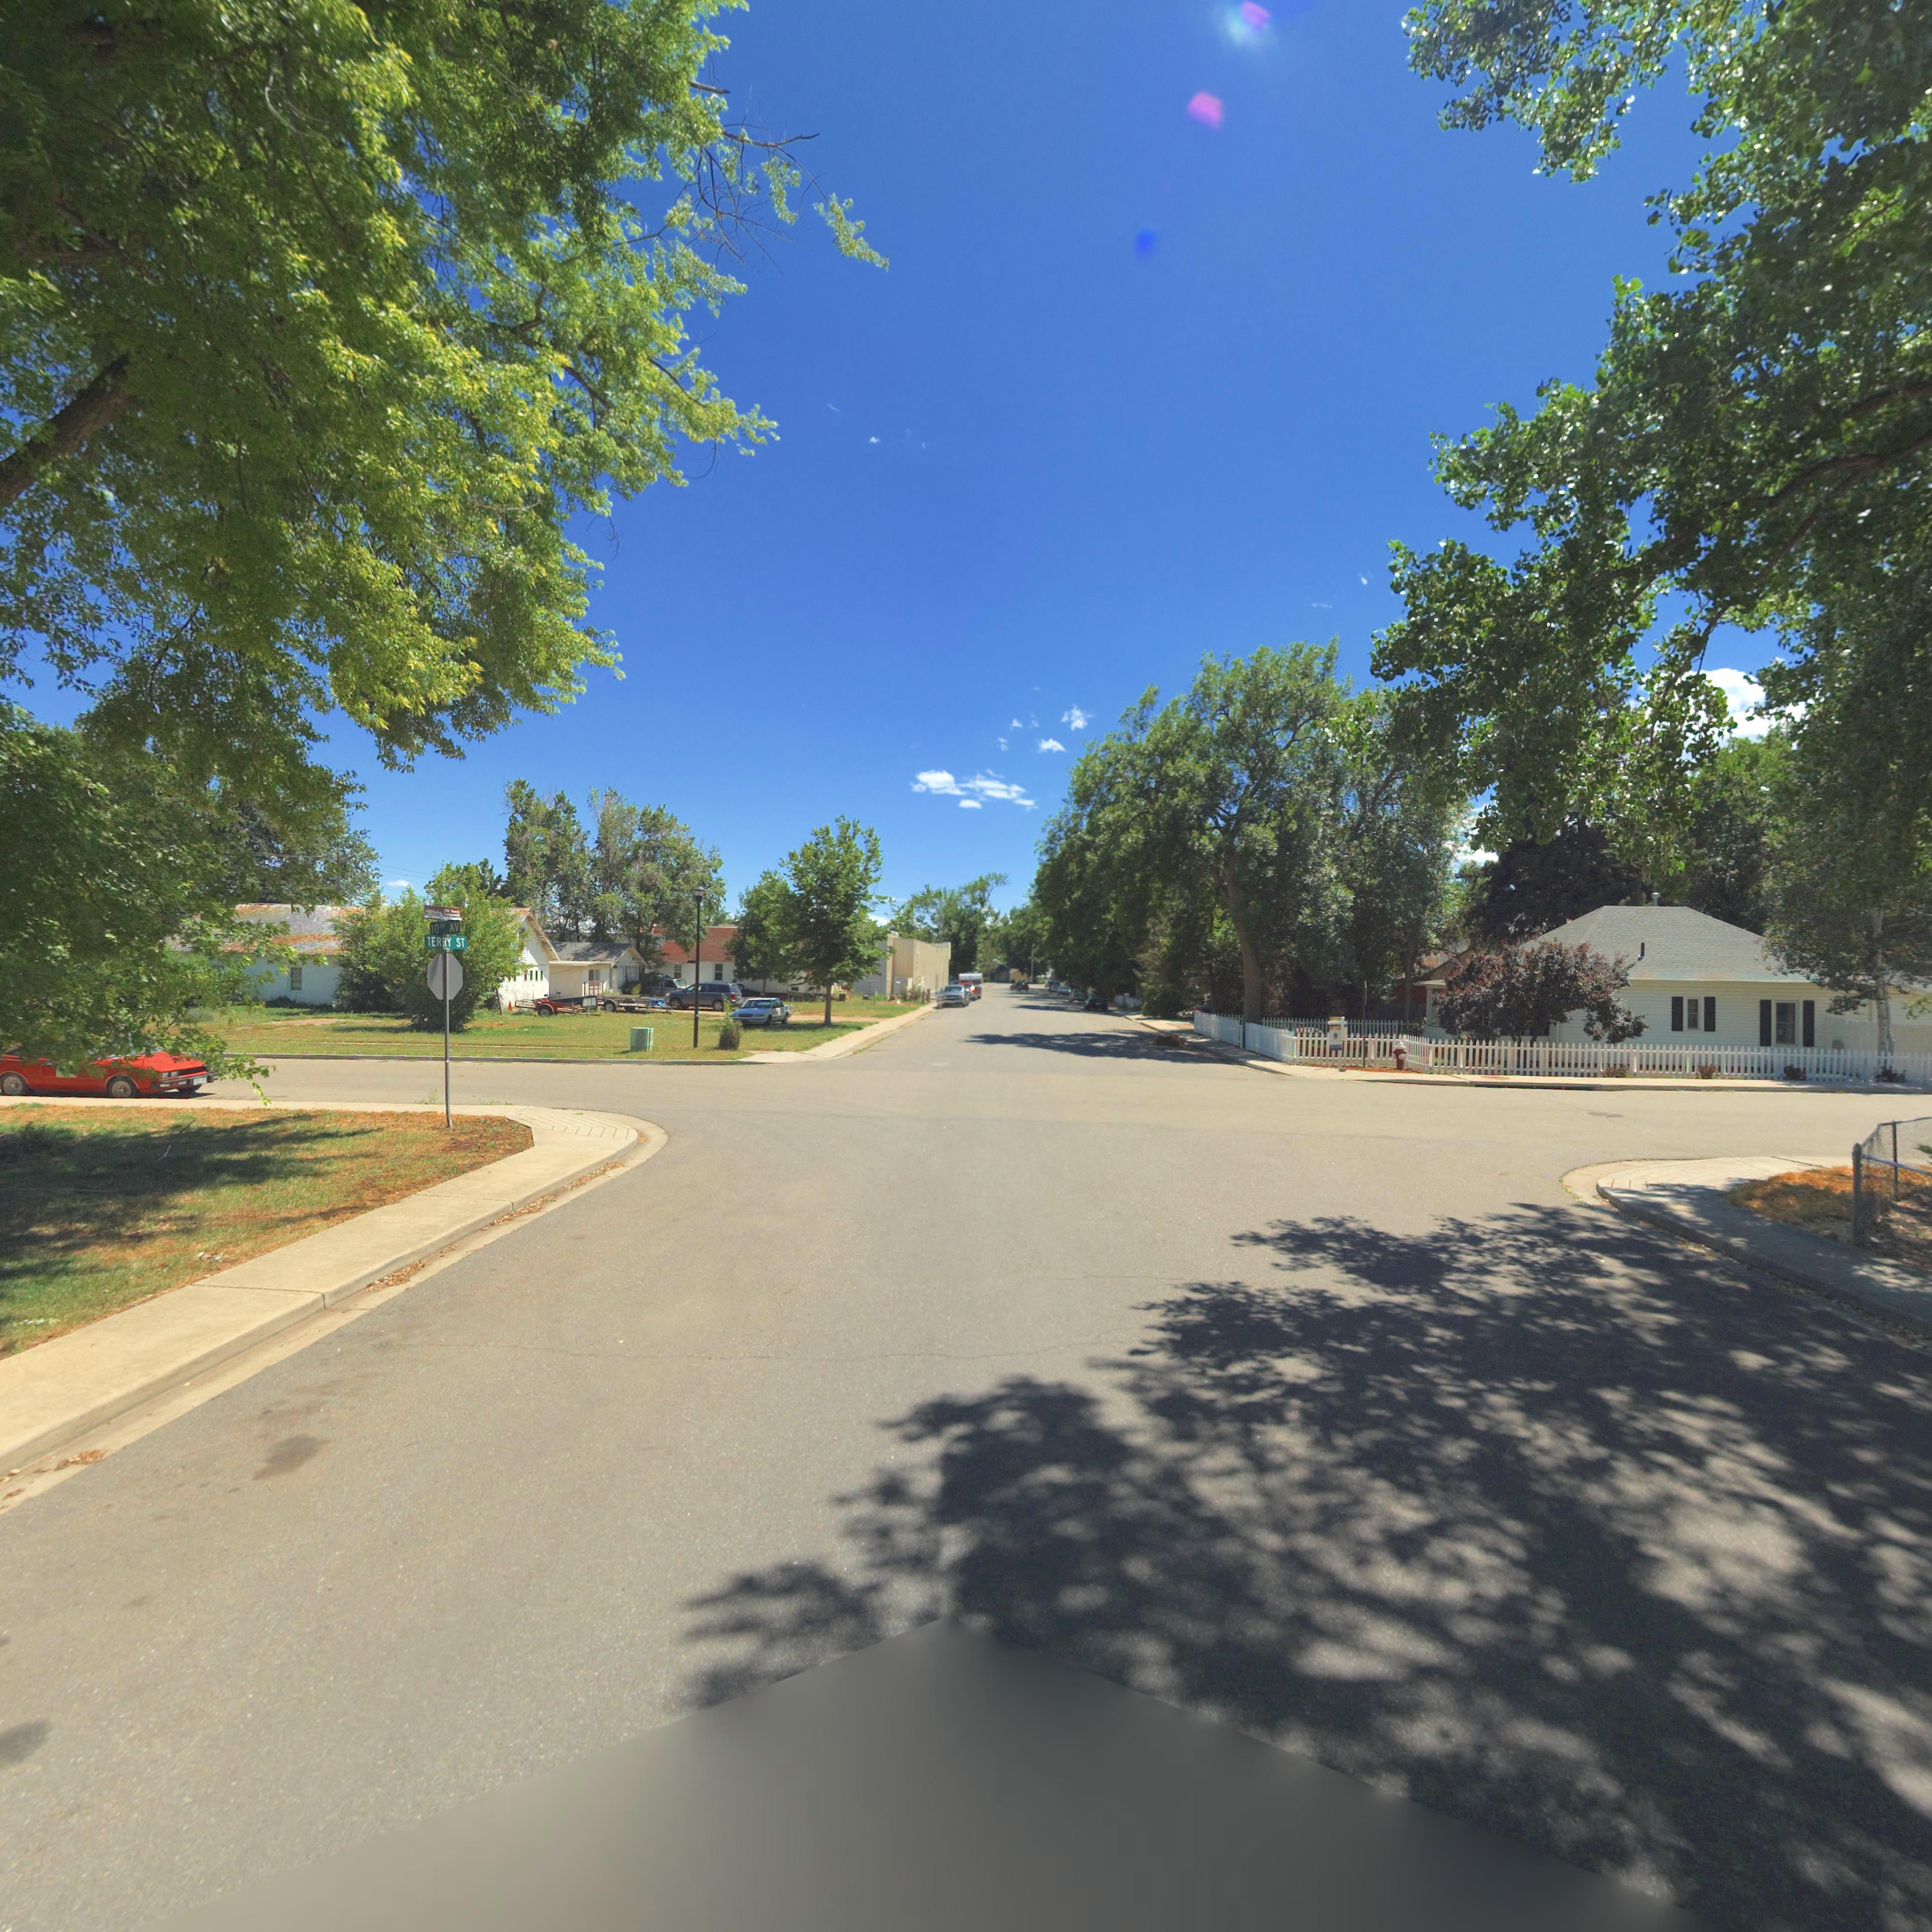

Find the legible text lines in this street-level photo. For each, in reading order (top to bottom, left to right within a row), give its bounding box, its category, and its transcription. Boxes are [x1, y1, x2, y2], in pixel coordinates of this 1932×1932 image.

[431, 921, 459, 934] StreetName: 10TH AV
[427, 936, 464, 947] StreetName: TERRY ST